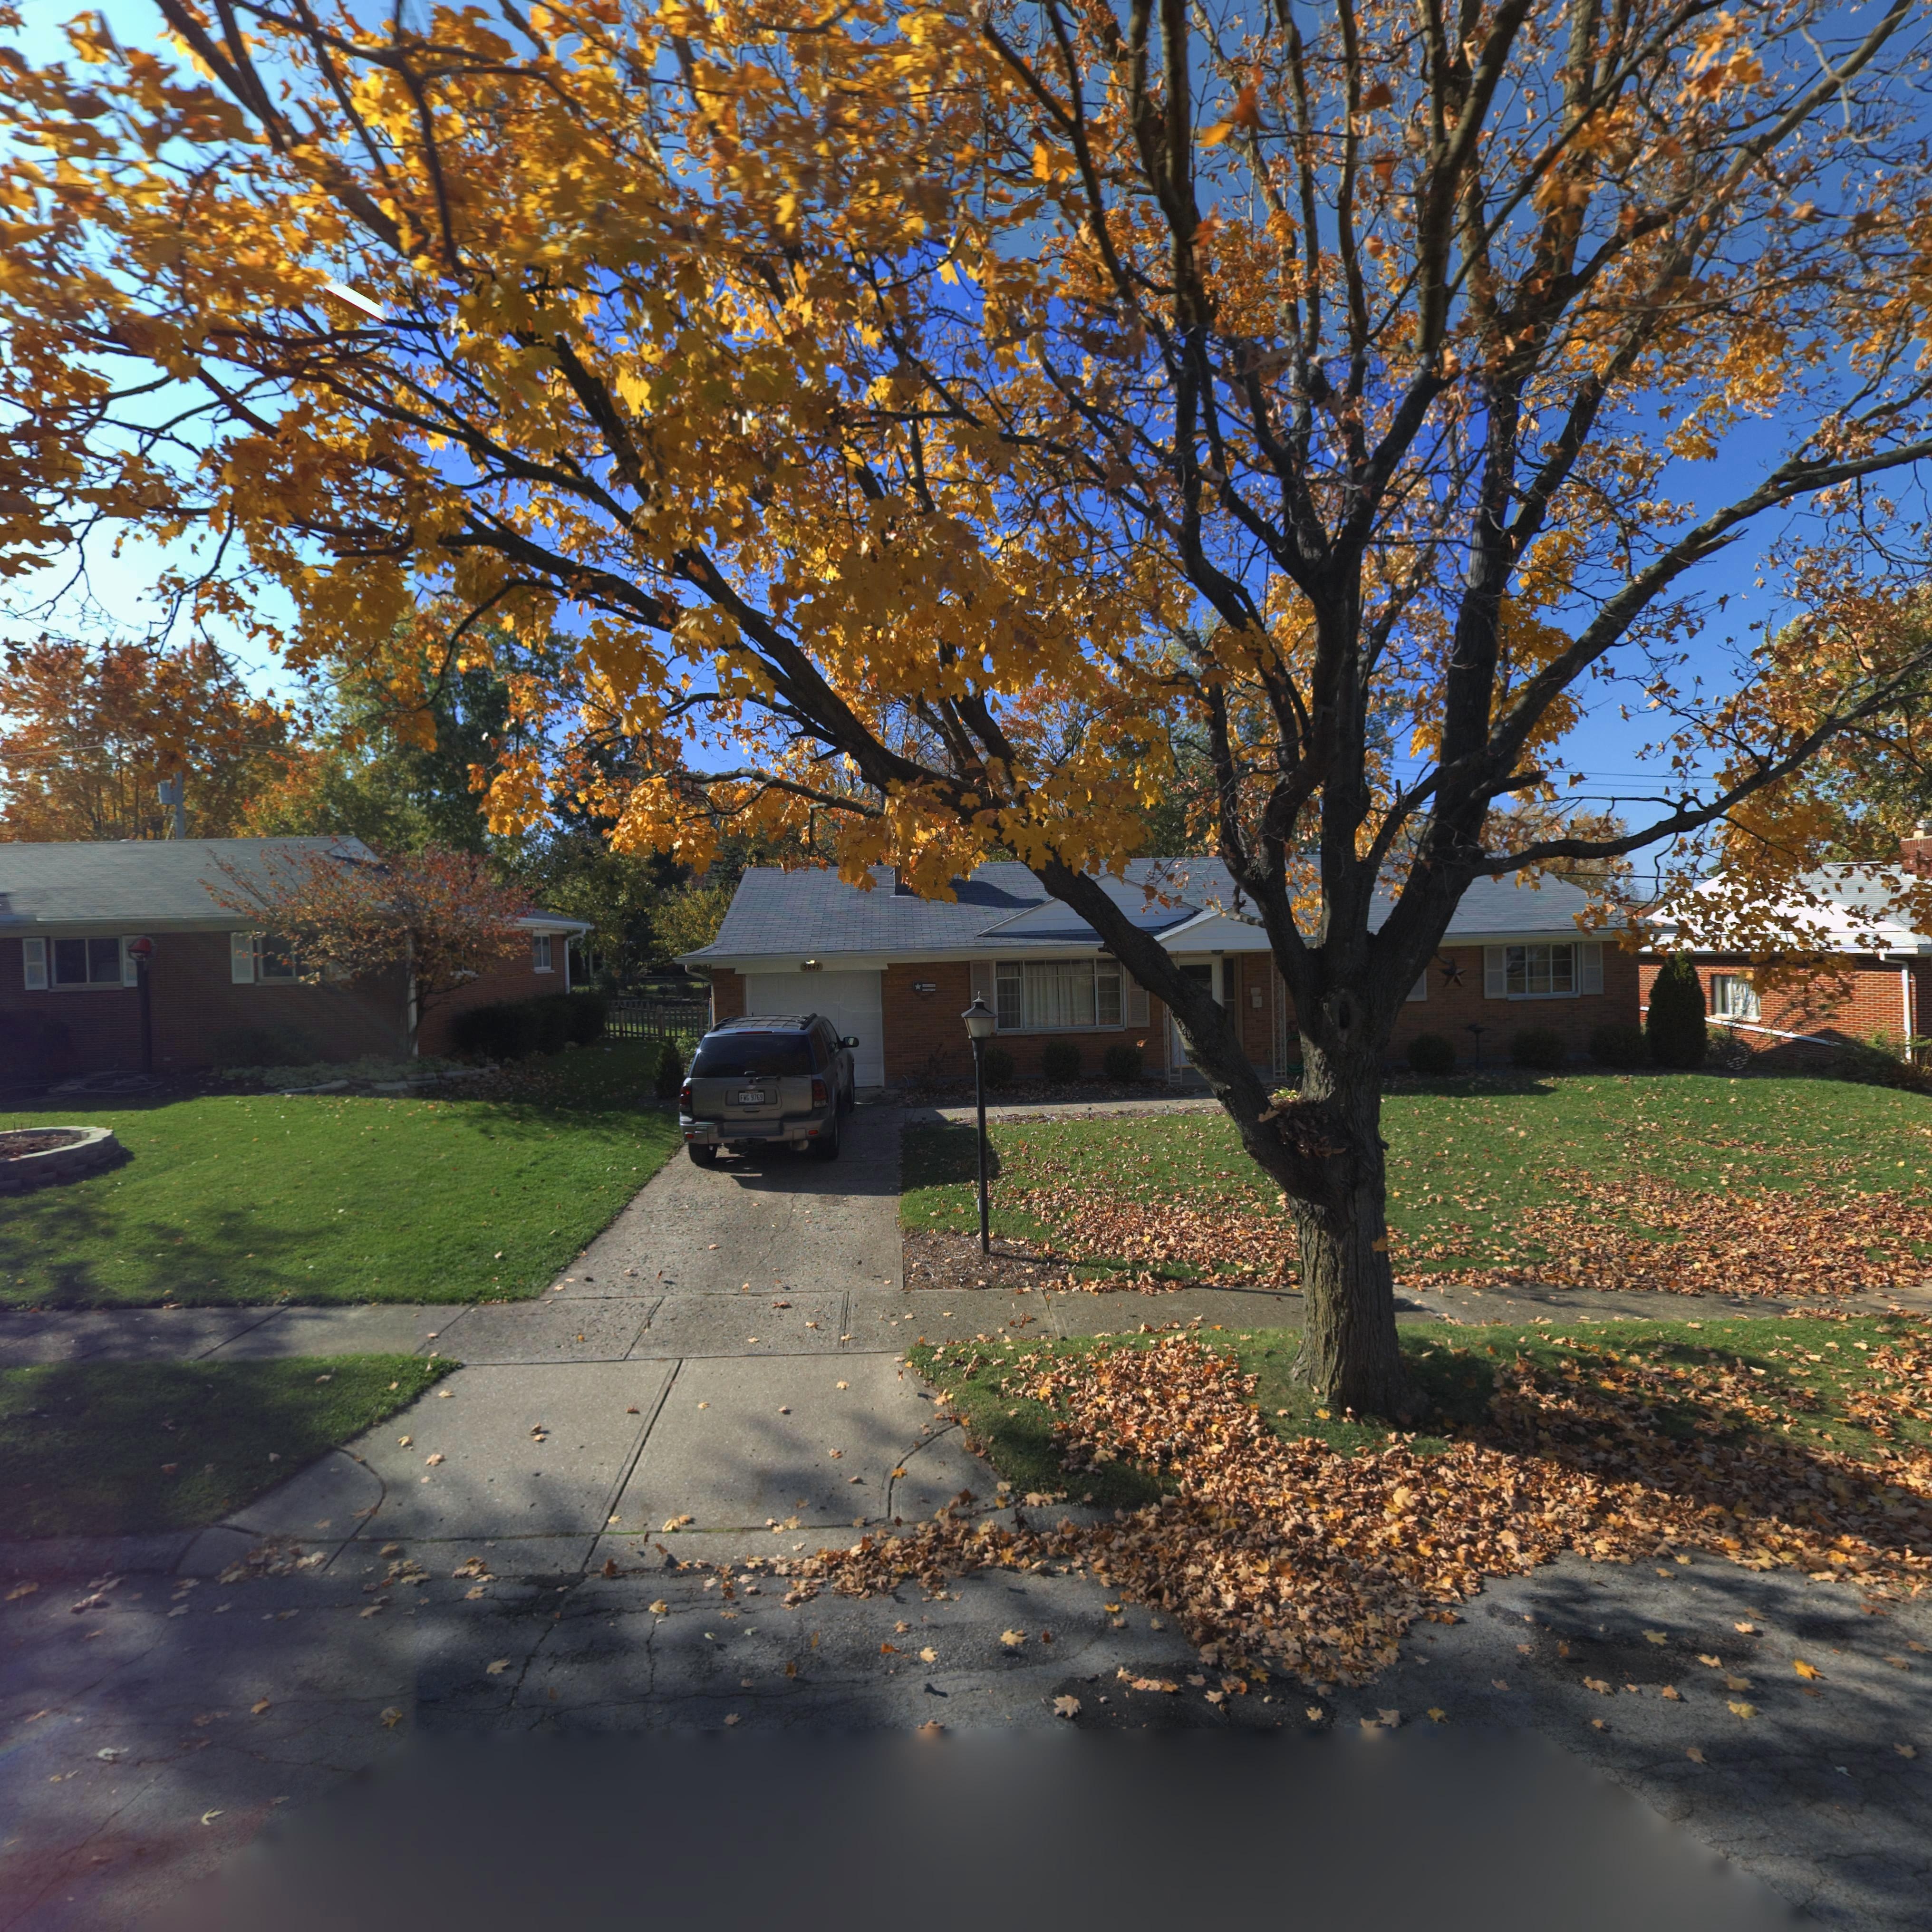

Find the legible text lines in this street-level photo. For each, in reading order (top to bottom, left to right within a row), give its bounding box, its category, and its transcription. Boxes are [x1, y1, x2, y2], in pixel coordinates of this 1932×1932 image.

[802, 964, 820, 970] StreetNumber: 3847
[740, 1094, 763, 1101] None: FWG 9769